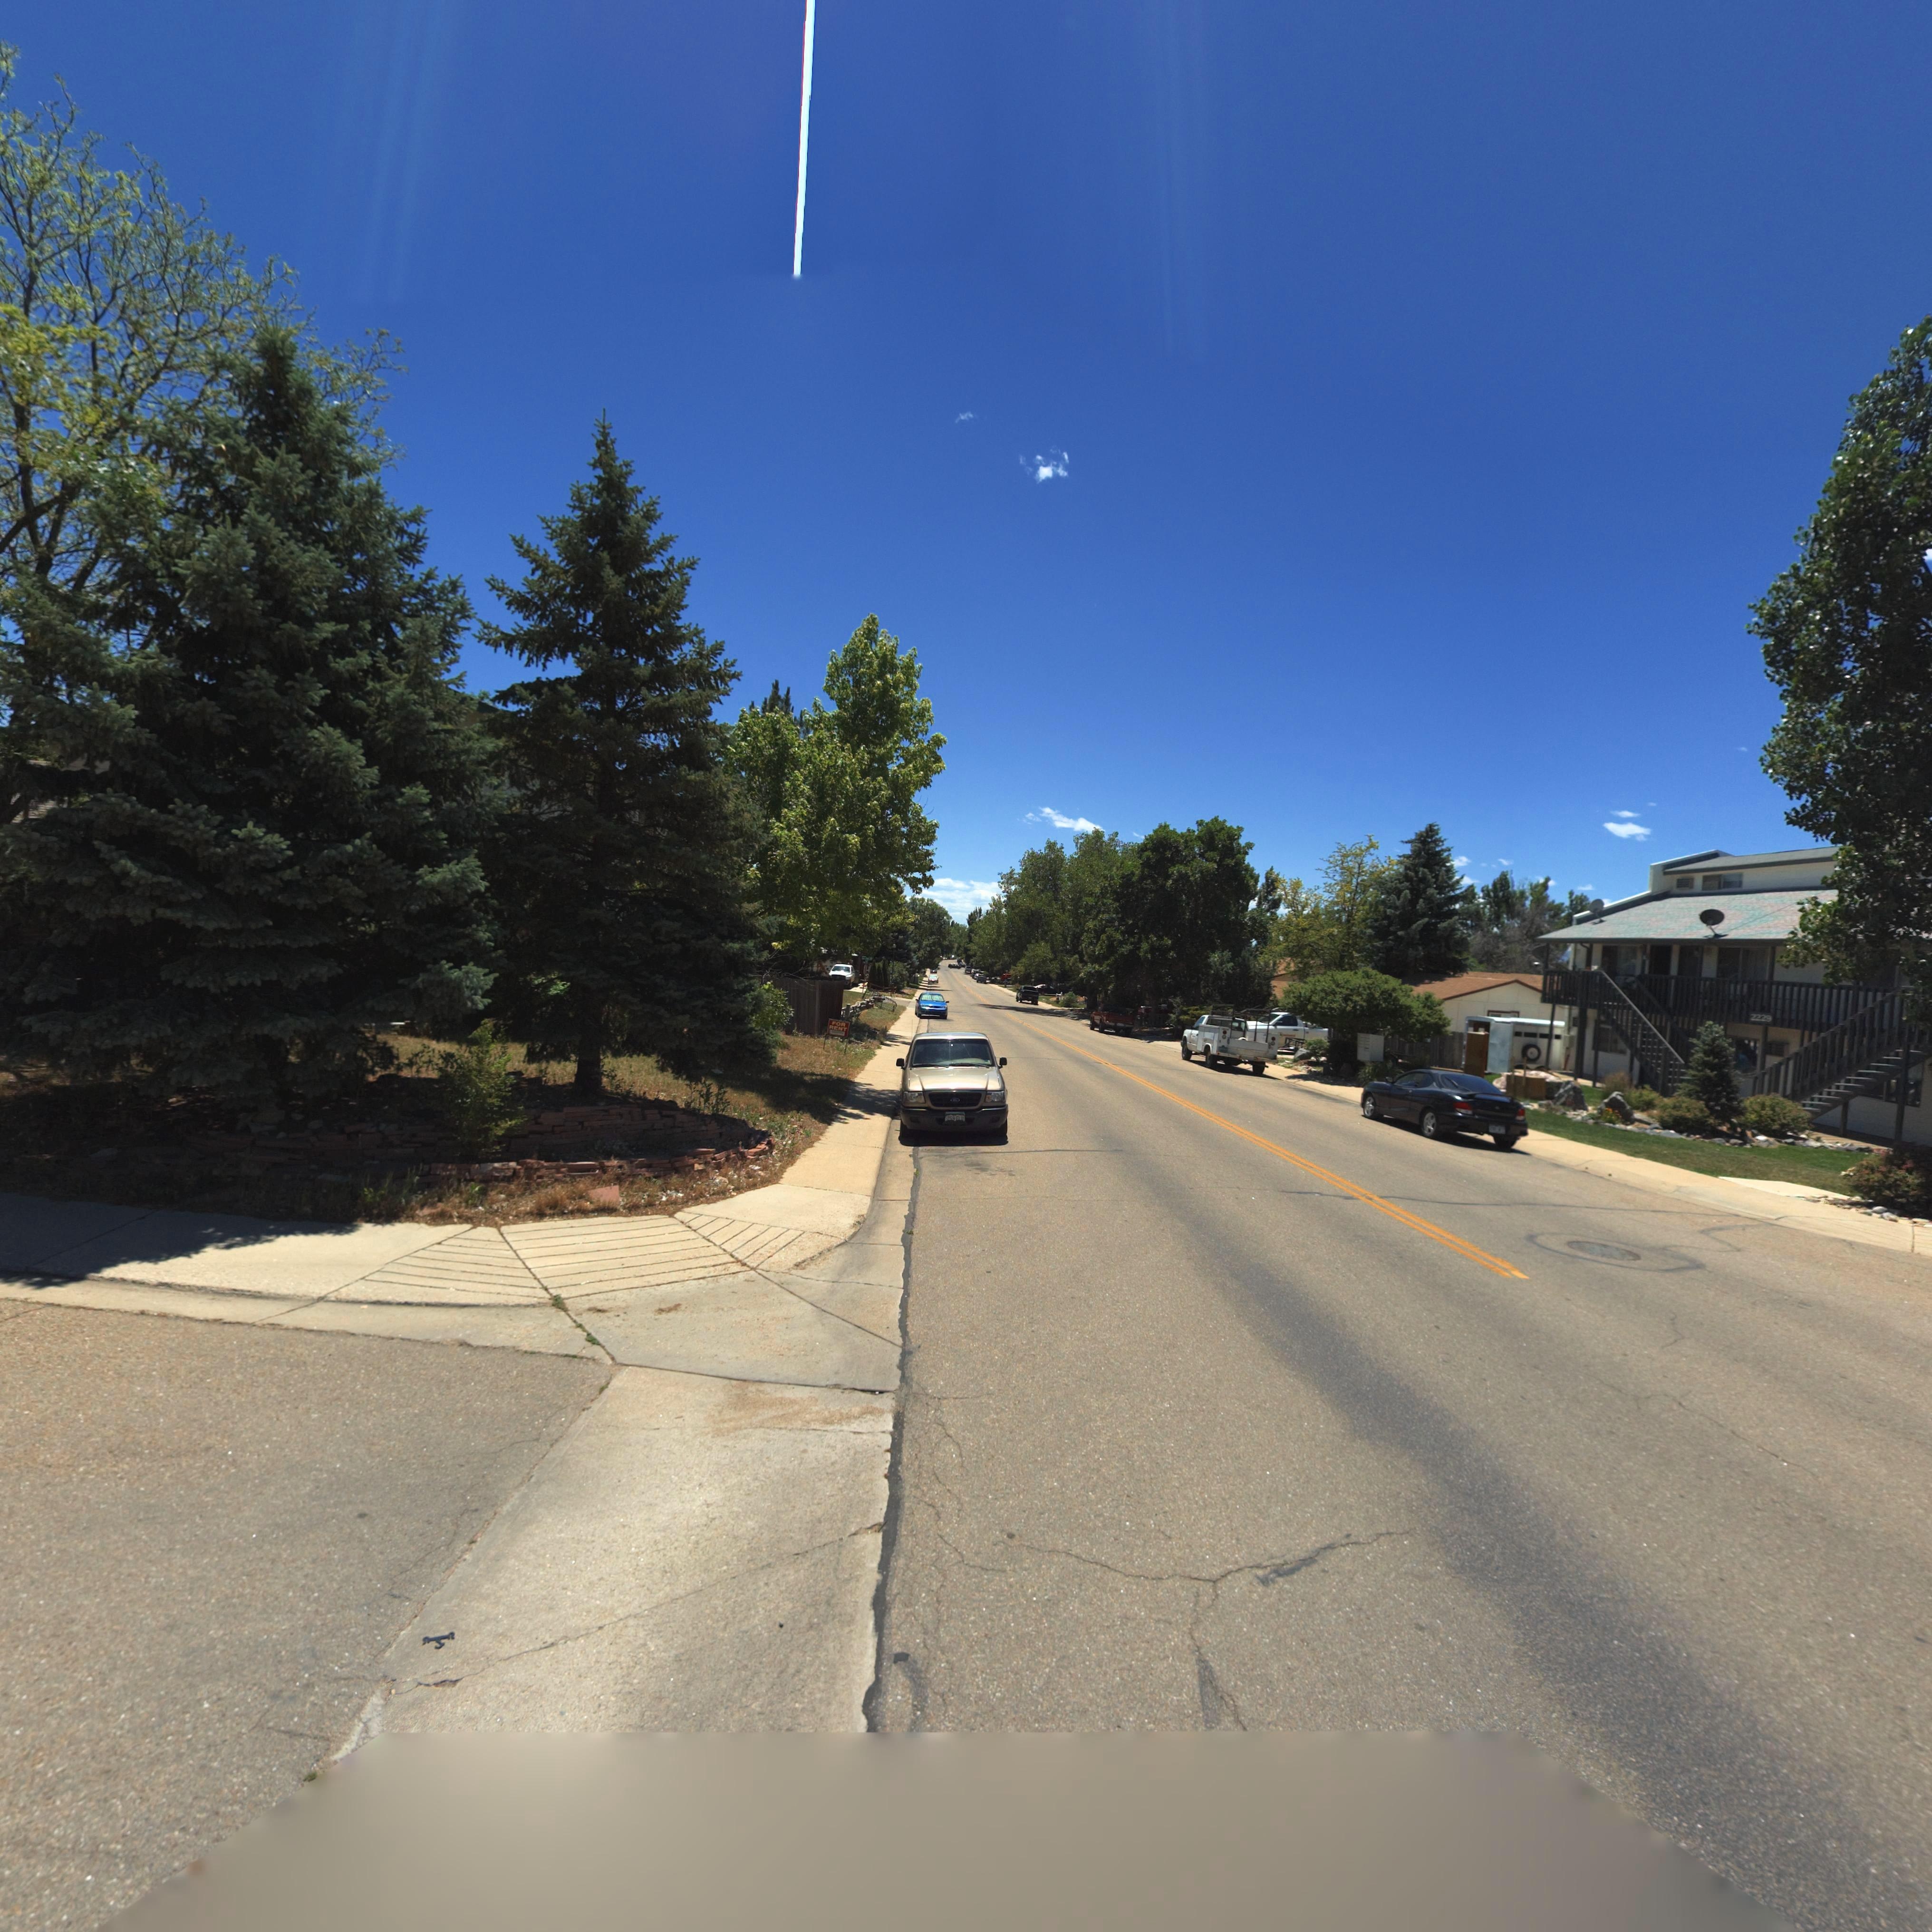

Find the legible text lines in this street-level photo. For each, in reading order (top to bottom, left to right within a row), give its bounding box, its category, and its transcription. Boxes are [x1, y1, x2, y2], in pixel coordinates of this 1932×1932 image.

[1750, 1013, 1772, 1022] StreetNumber: 2229